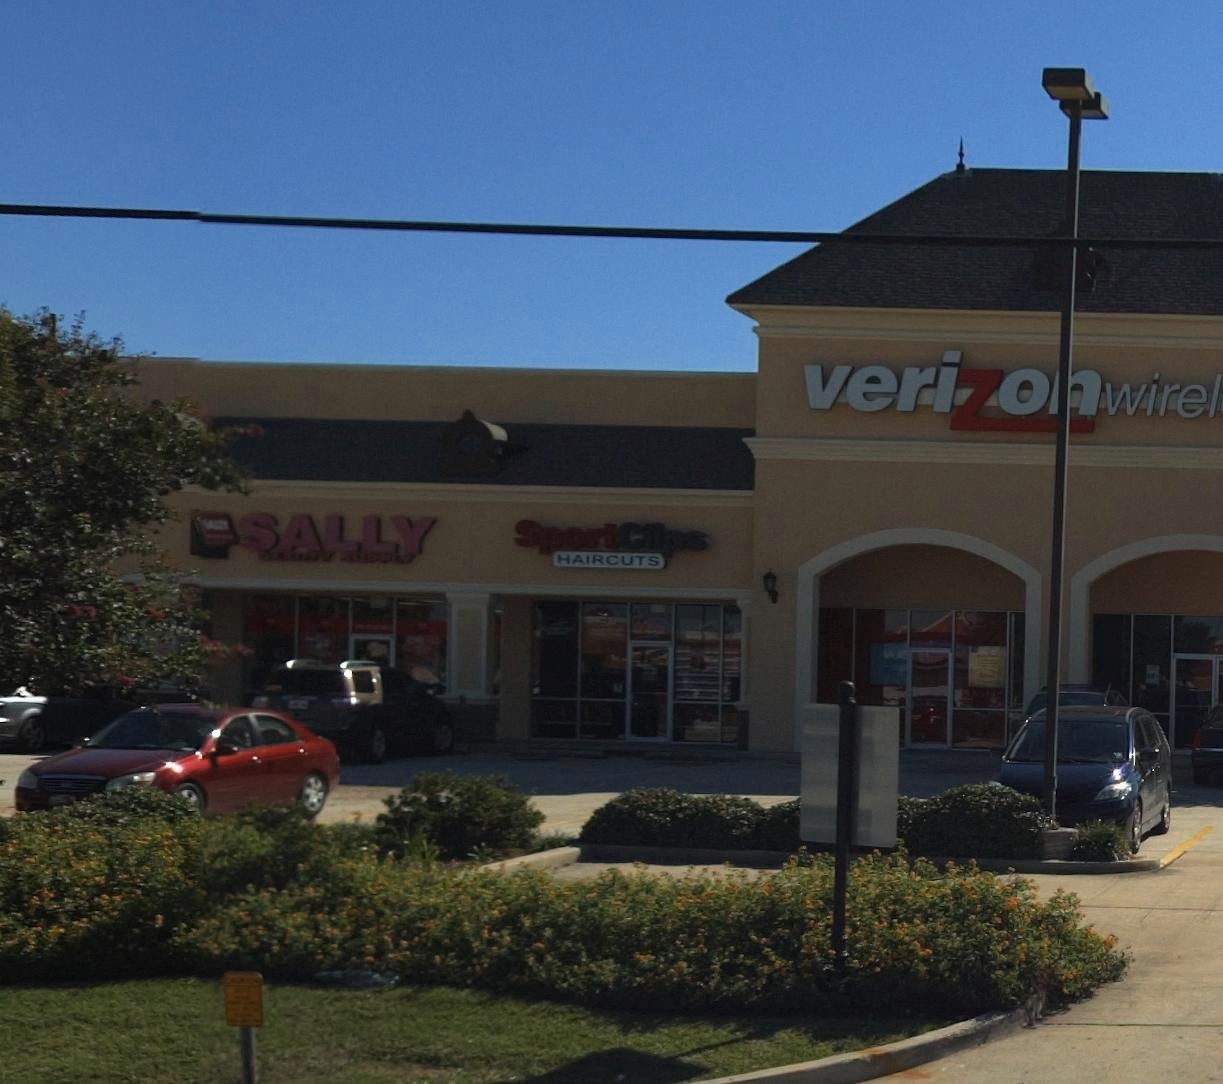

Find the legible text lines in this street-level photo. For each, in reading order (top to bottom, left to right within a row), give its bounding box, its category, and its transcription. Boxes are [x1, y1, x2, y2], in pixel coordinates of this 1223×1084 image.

[799, 347, 1222, 439] BusinessName: verizonwirel
[232, 507, 444, 557] BusinessName: SALLY
[554, 551, 662, 569] None: HAIRCUTS
[511, 515, 711, 561] BusinessName: SportsClips